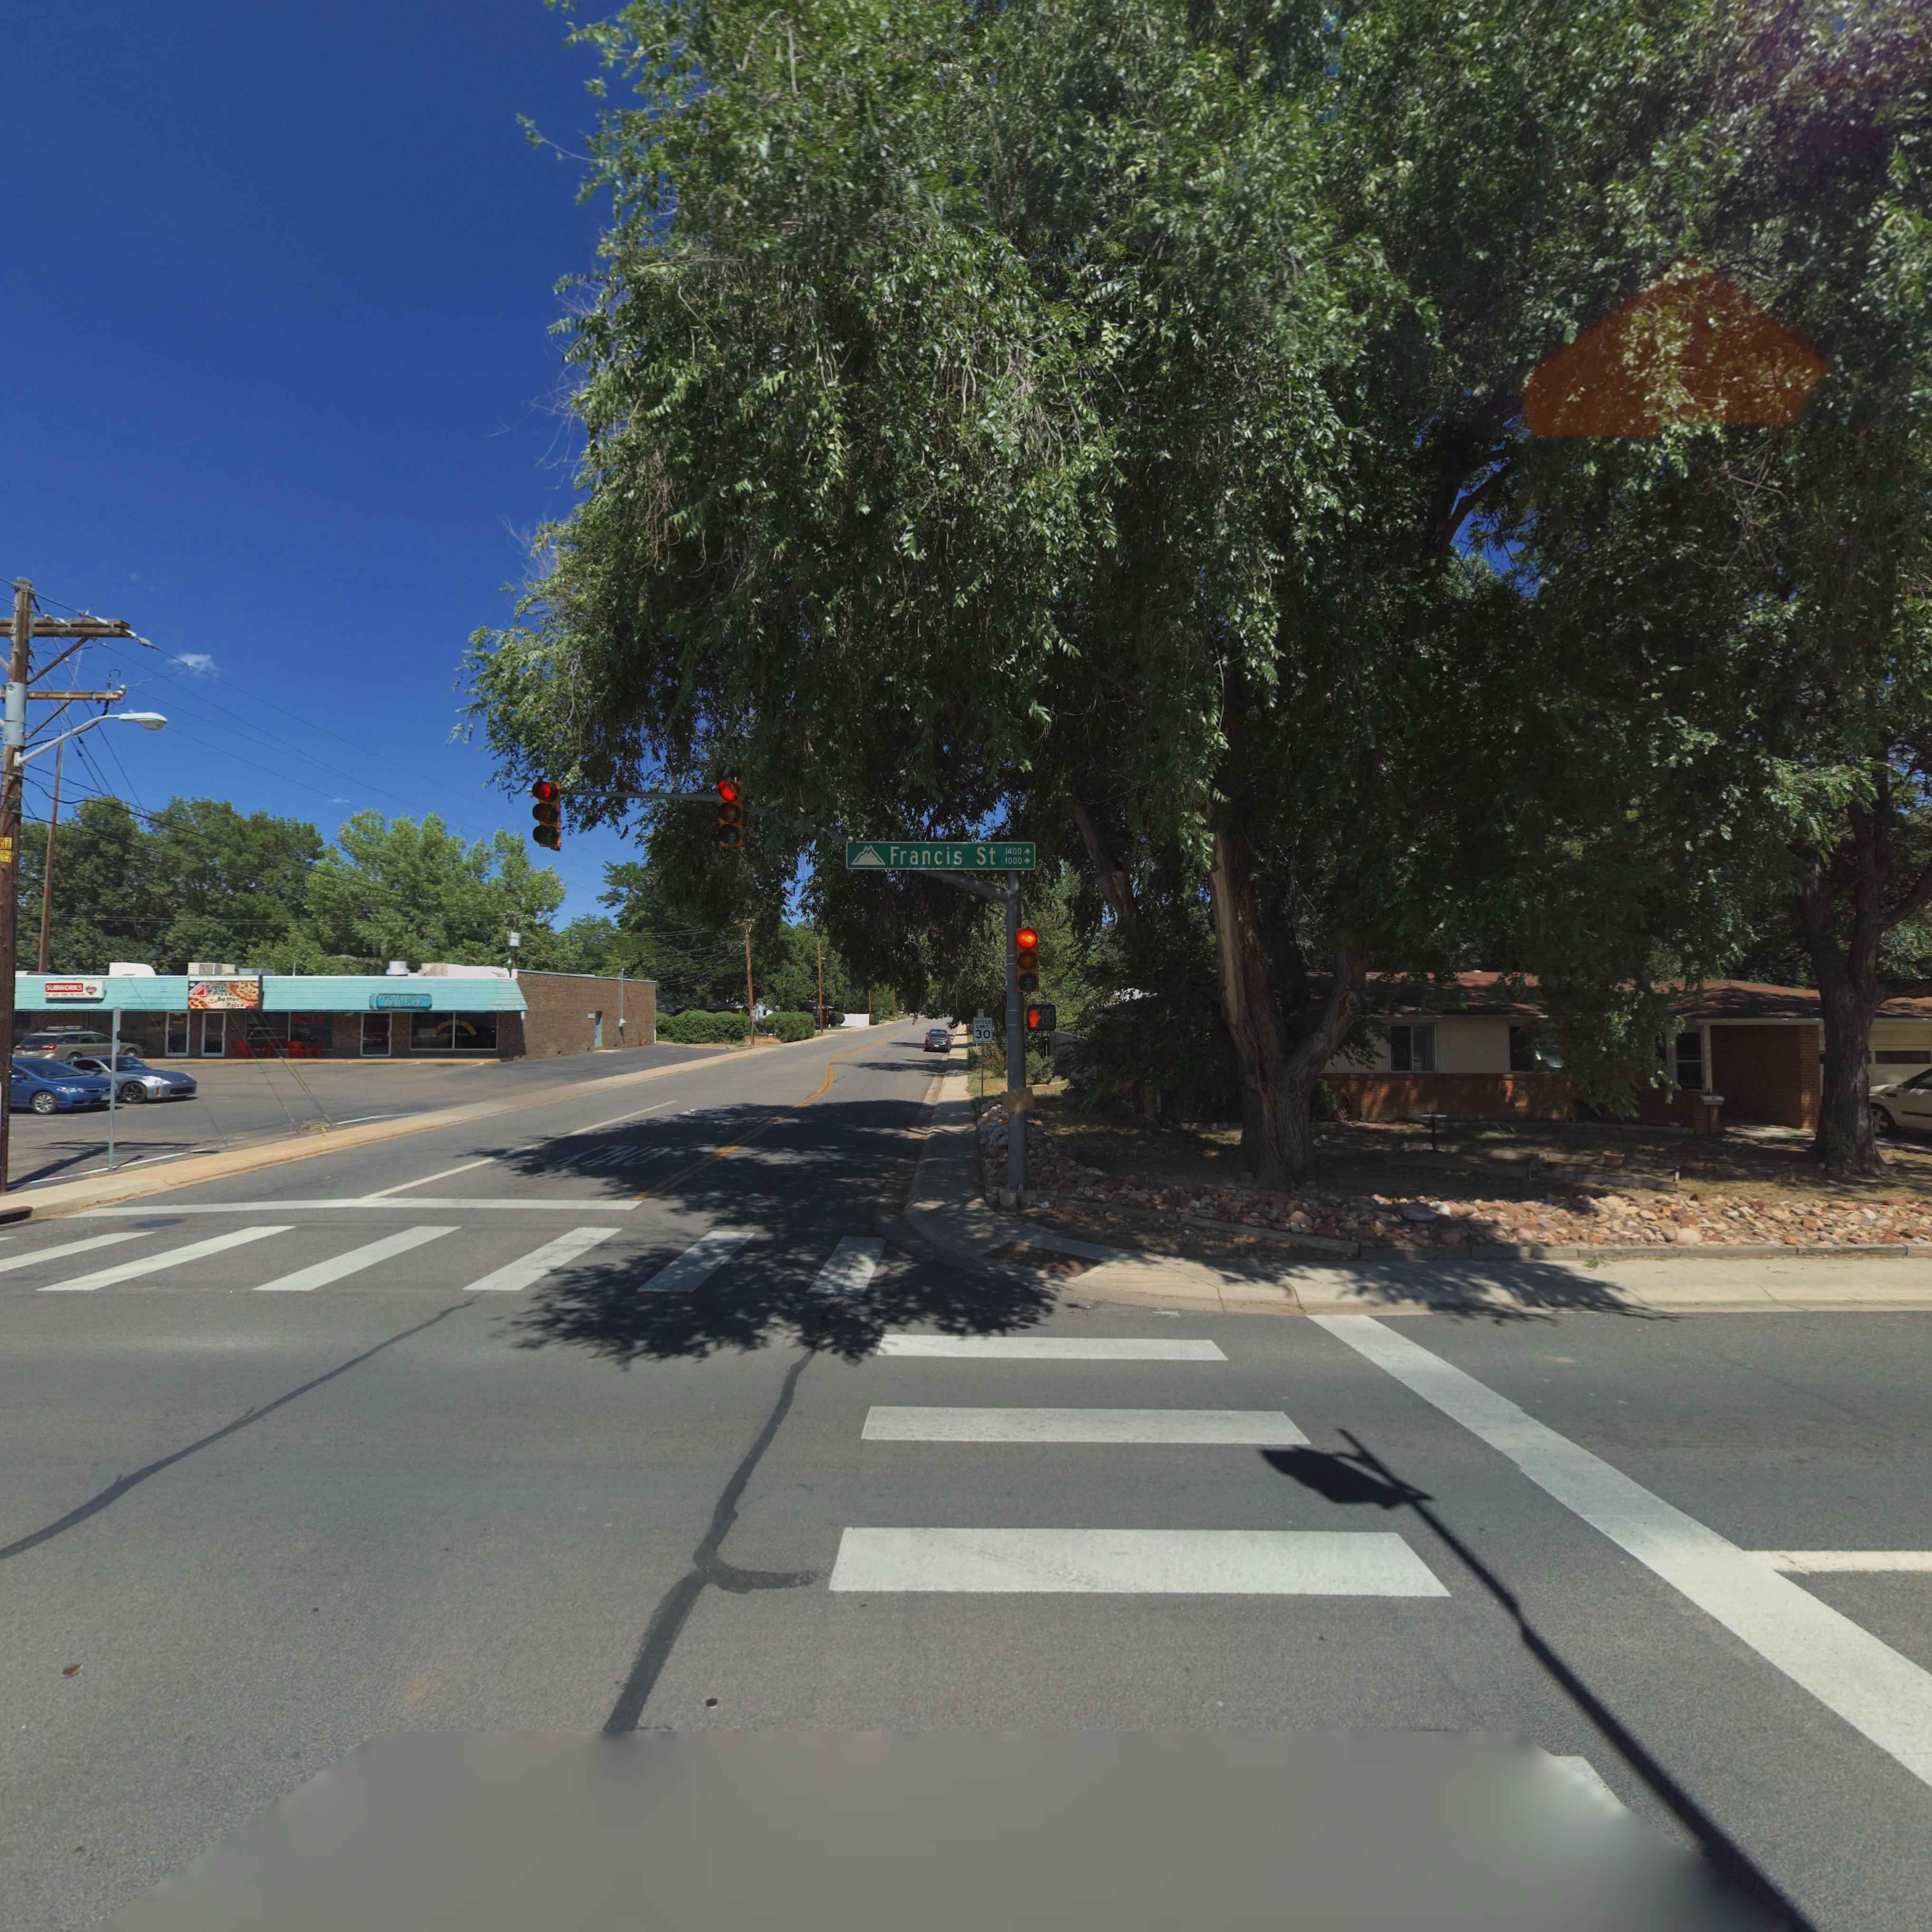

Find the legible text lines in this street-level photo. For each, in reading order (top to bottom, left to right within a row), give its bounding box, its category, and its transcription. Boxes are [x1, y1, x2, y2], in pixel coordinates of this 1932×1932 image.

[1005, 847, 1022, 854] StreetNumberRange: 1400
[890, 846, 995, 865] StreetName: Francis St
[1005, 856, 1030, 864] StreetNumberRange: 1000 ->
[46, 983, 82, 991] BusinessName: SUBWORKS 
[379, 994, 431, 1001] BusinessName: PROFESSIONAL
[386, 1000, 423, 1006] BusinessName: RECOVERY
[459, 1020, 477, 1035] BusinessName: REC**ERY
[1704, 1039, 1710, 1071] StreetNumber: 104**